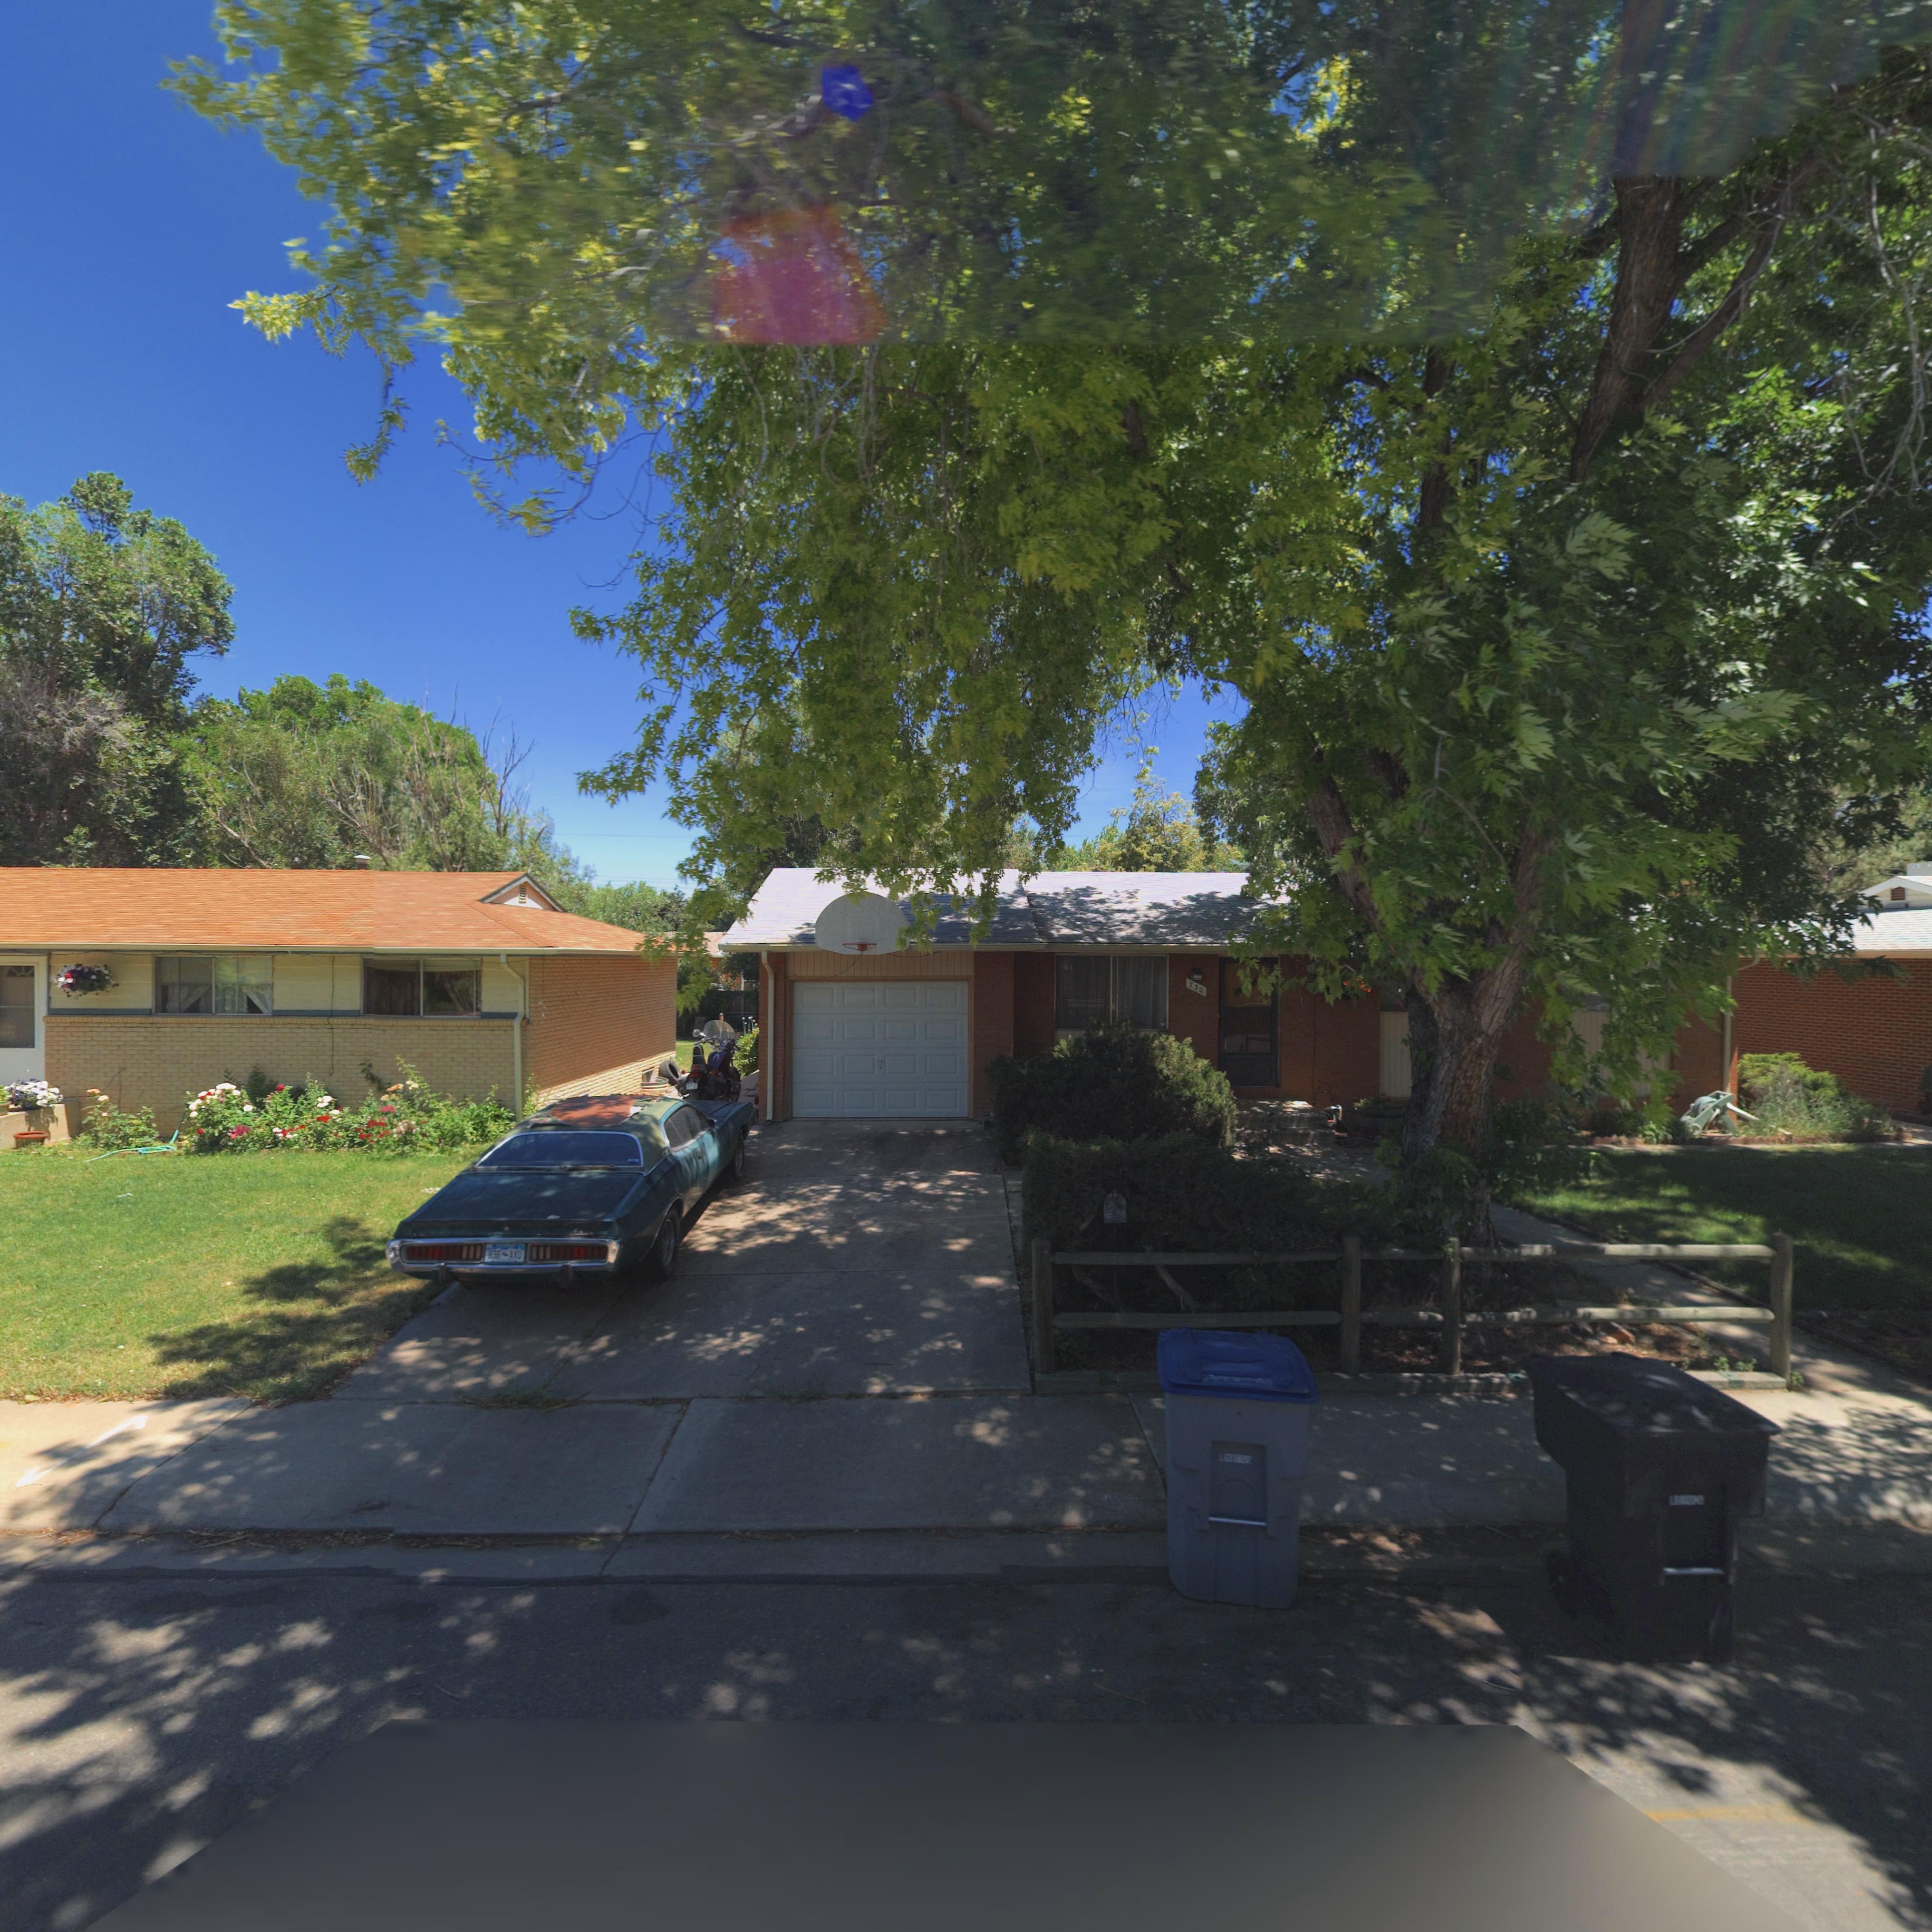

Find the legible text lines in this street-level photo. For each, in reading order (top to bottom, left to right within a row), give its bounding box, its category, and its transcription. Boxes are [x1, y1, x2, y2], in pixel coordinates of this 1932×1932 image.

[1188, 982, 1203, 993] StreetNumber: 730